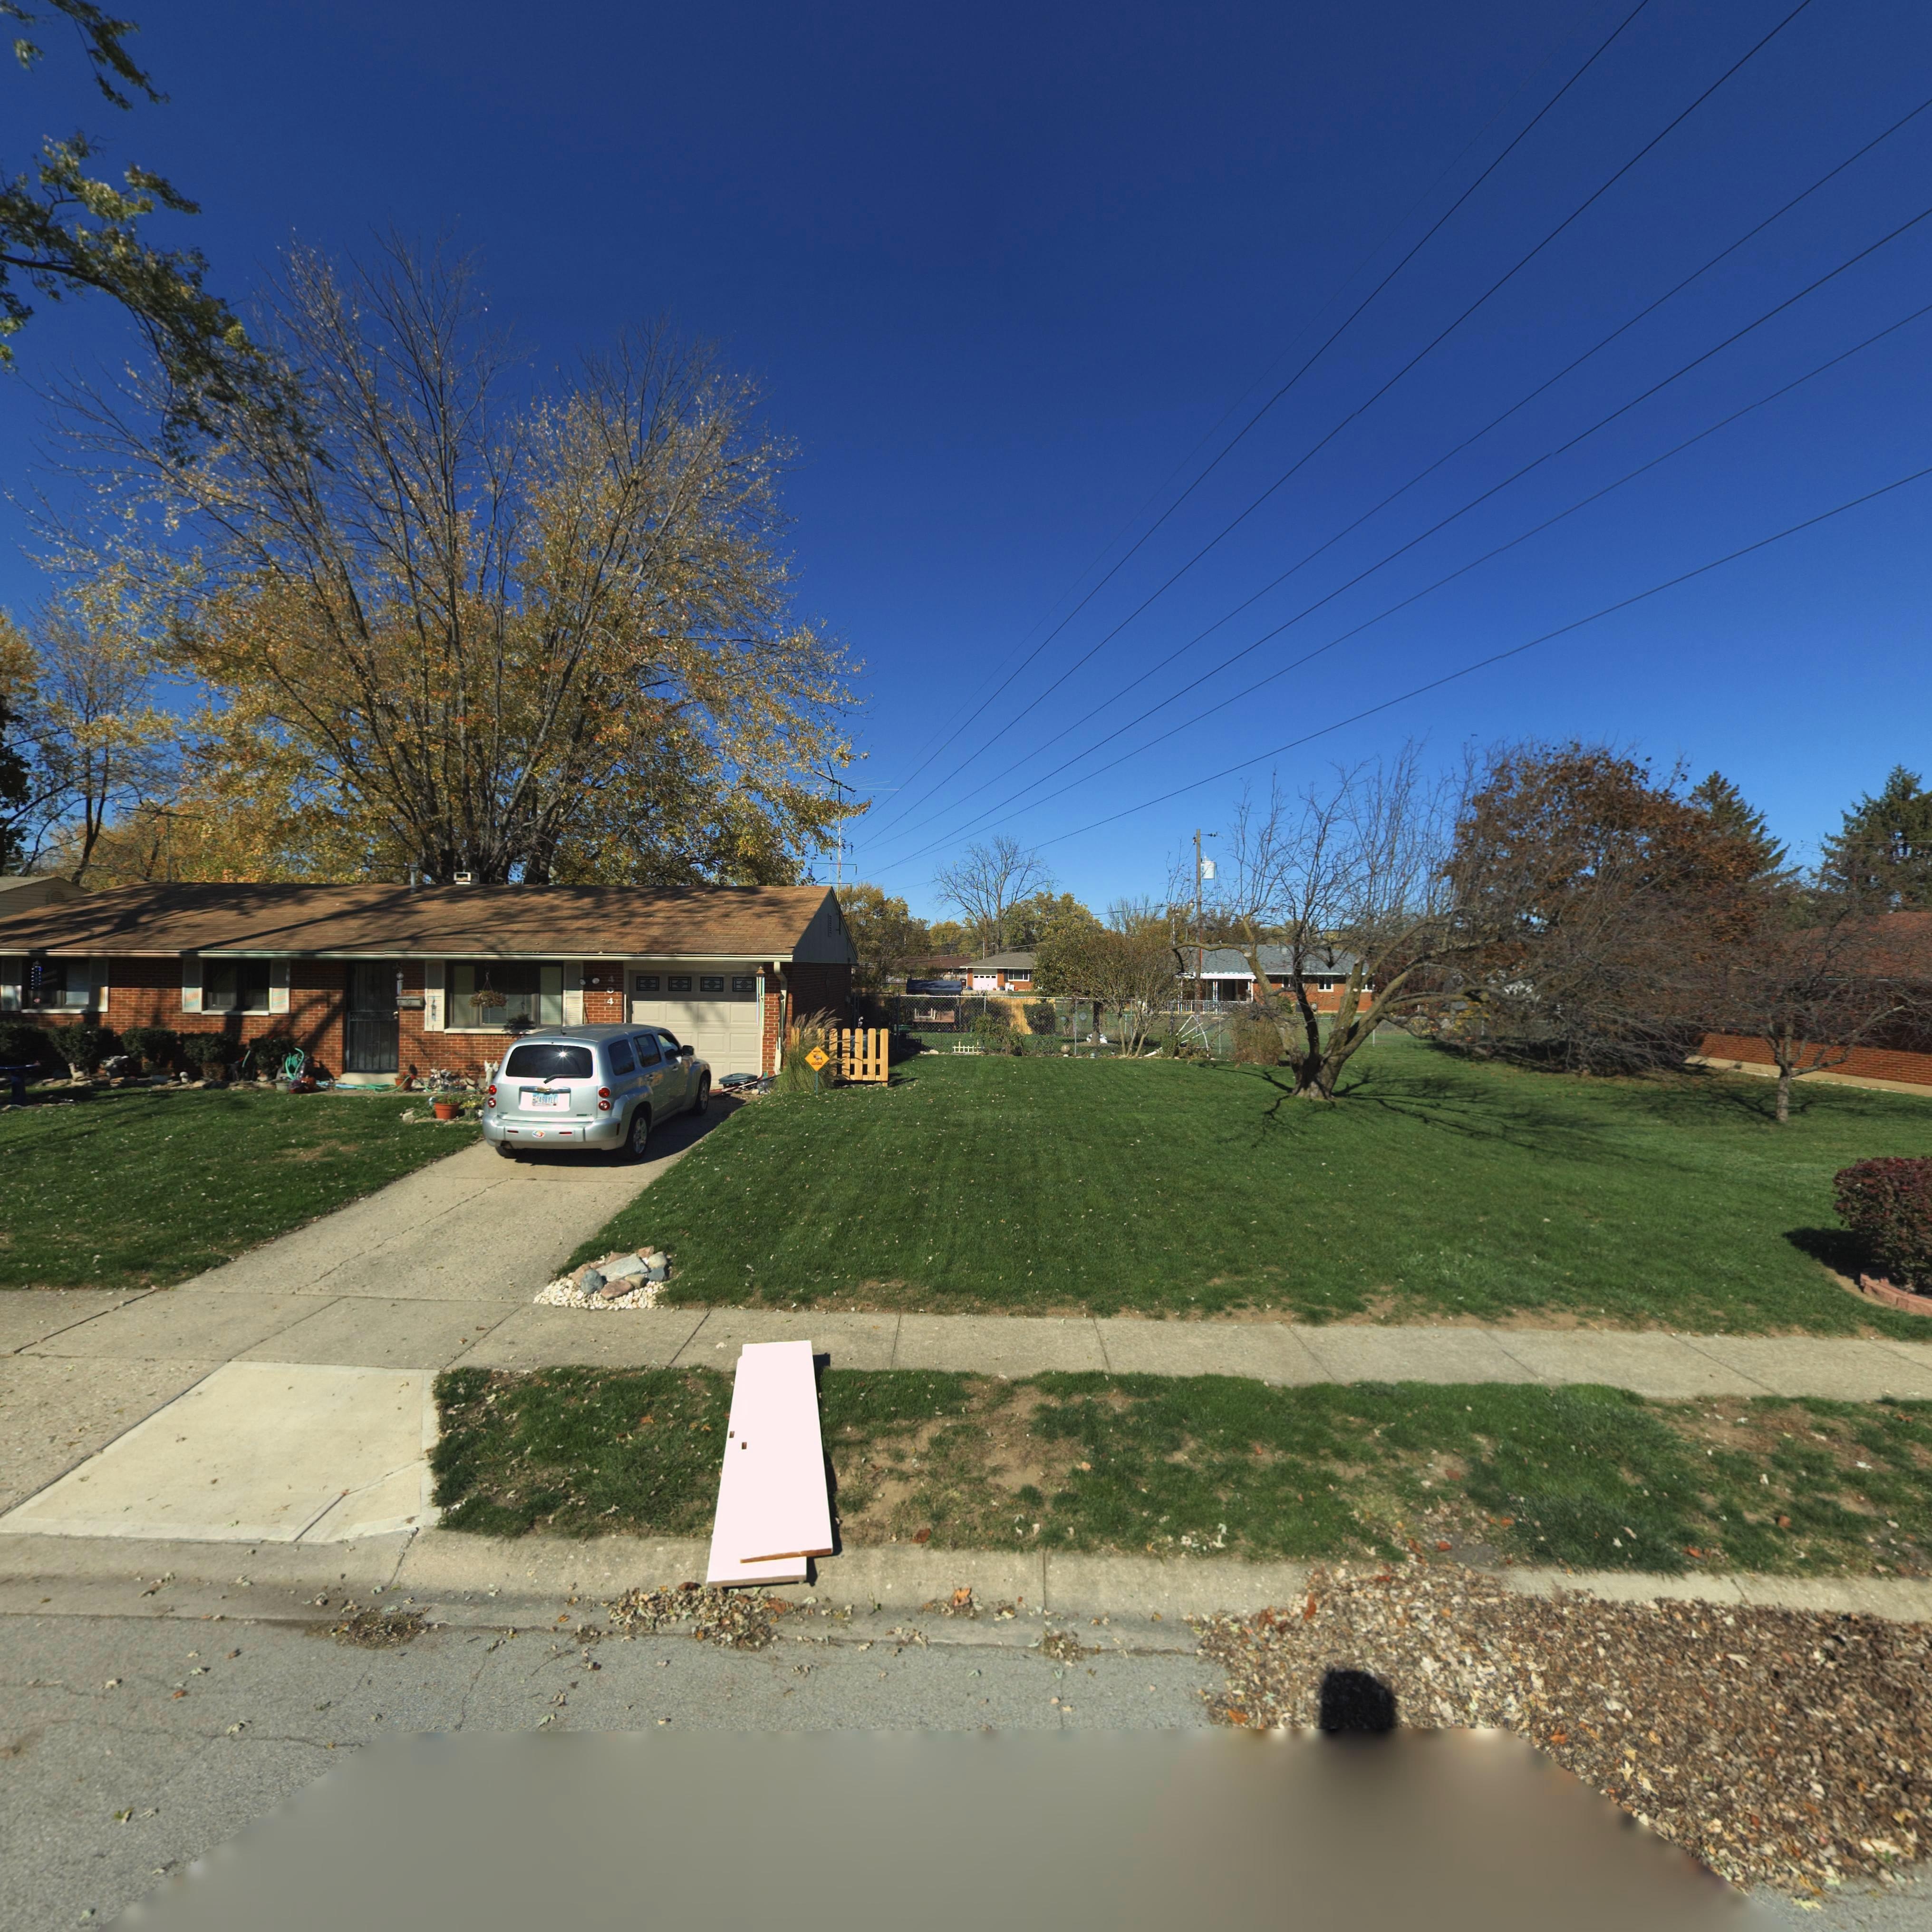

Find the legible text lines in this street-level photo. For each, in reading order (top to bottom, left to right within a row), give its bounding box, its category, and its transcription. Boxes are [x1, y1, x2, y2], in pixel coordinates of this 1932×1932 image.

[606, 974, 615, 1006] StreetNumber: 404